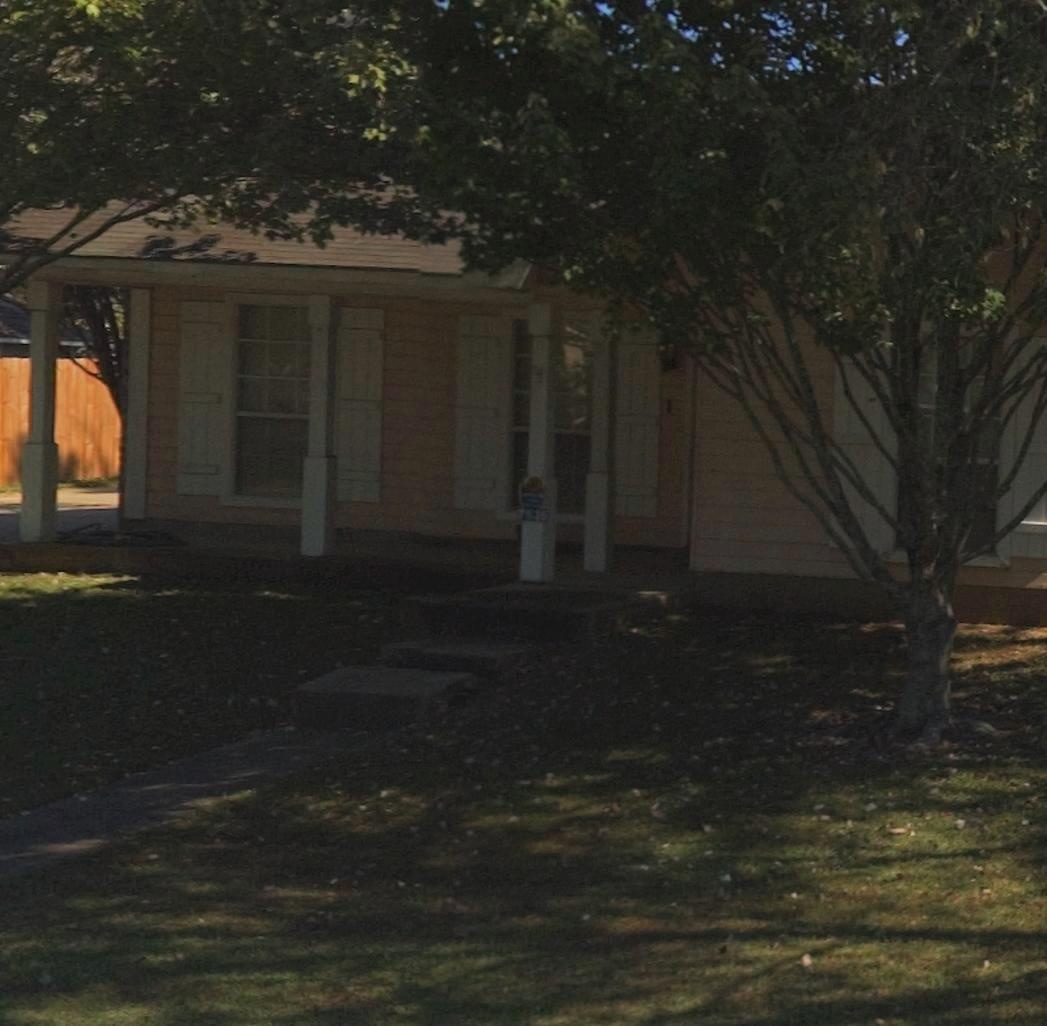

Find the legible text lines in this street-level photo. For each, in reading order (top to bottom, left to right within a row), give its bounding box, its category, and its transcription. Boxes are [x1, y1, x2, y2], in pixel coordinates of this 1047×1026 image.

[517, 508, 549, 521] StreetNumber: 7535